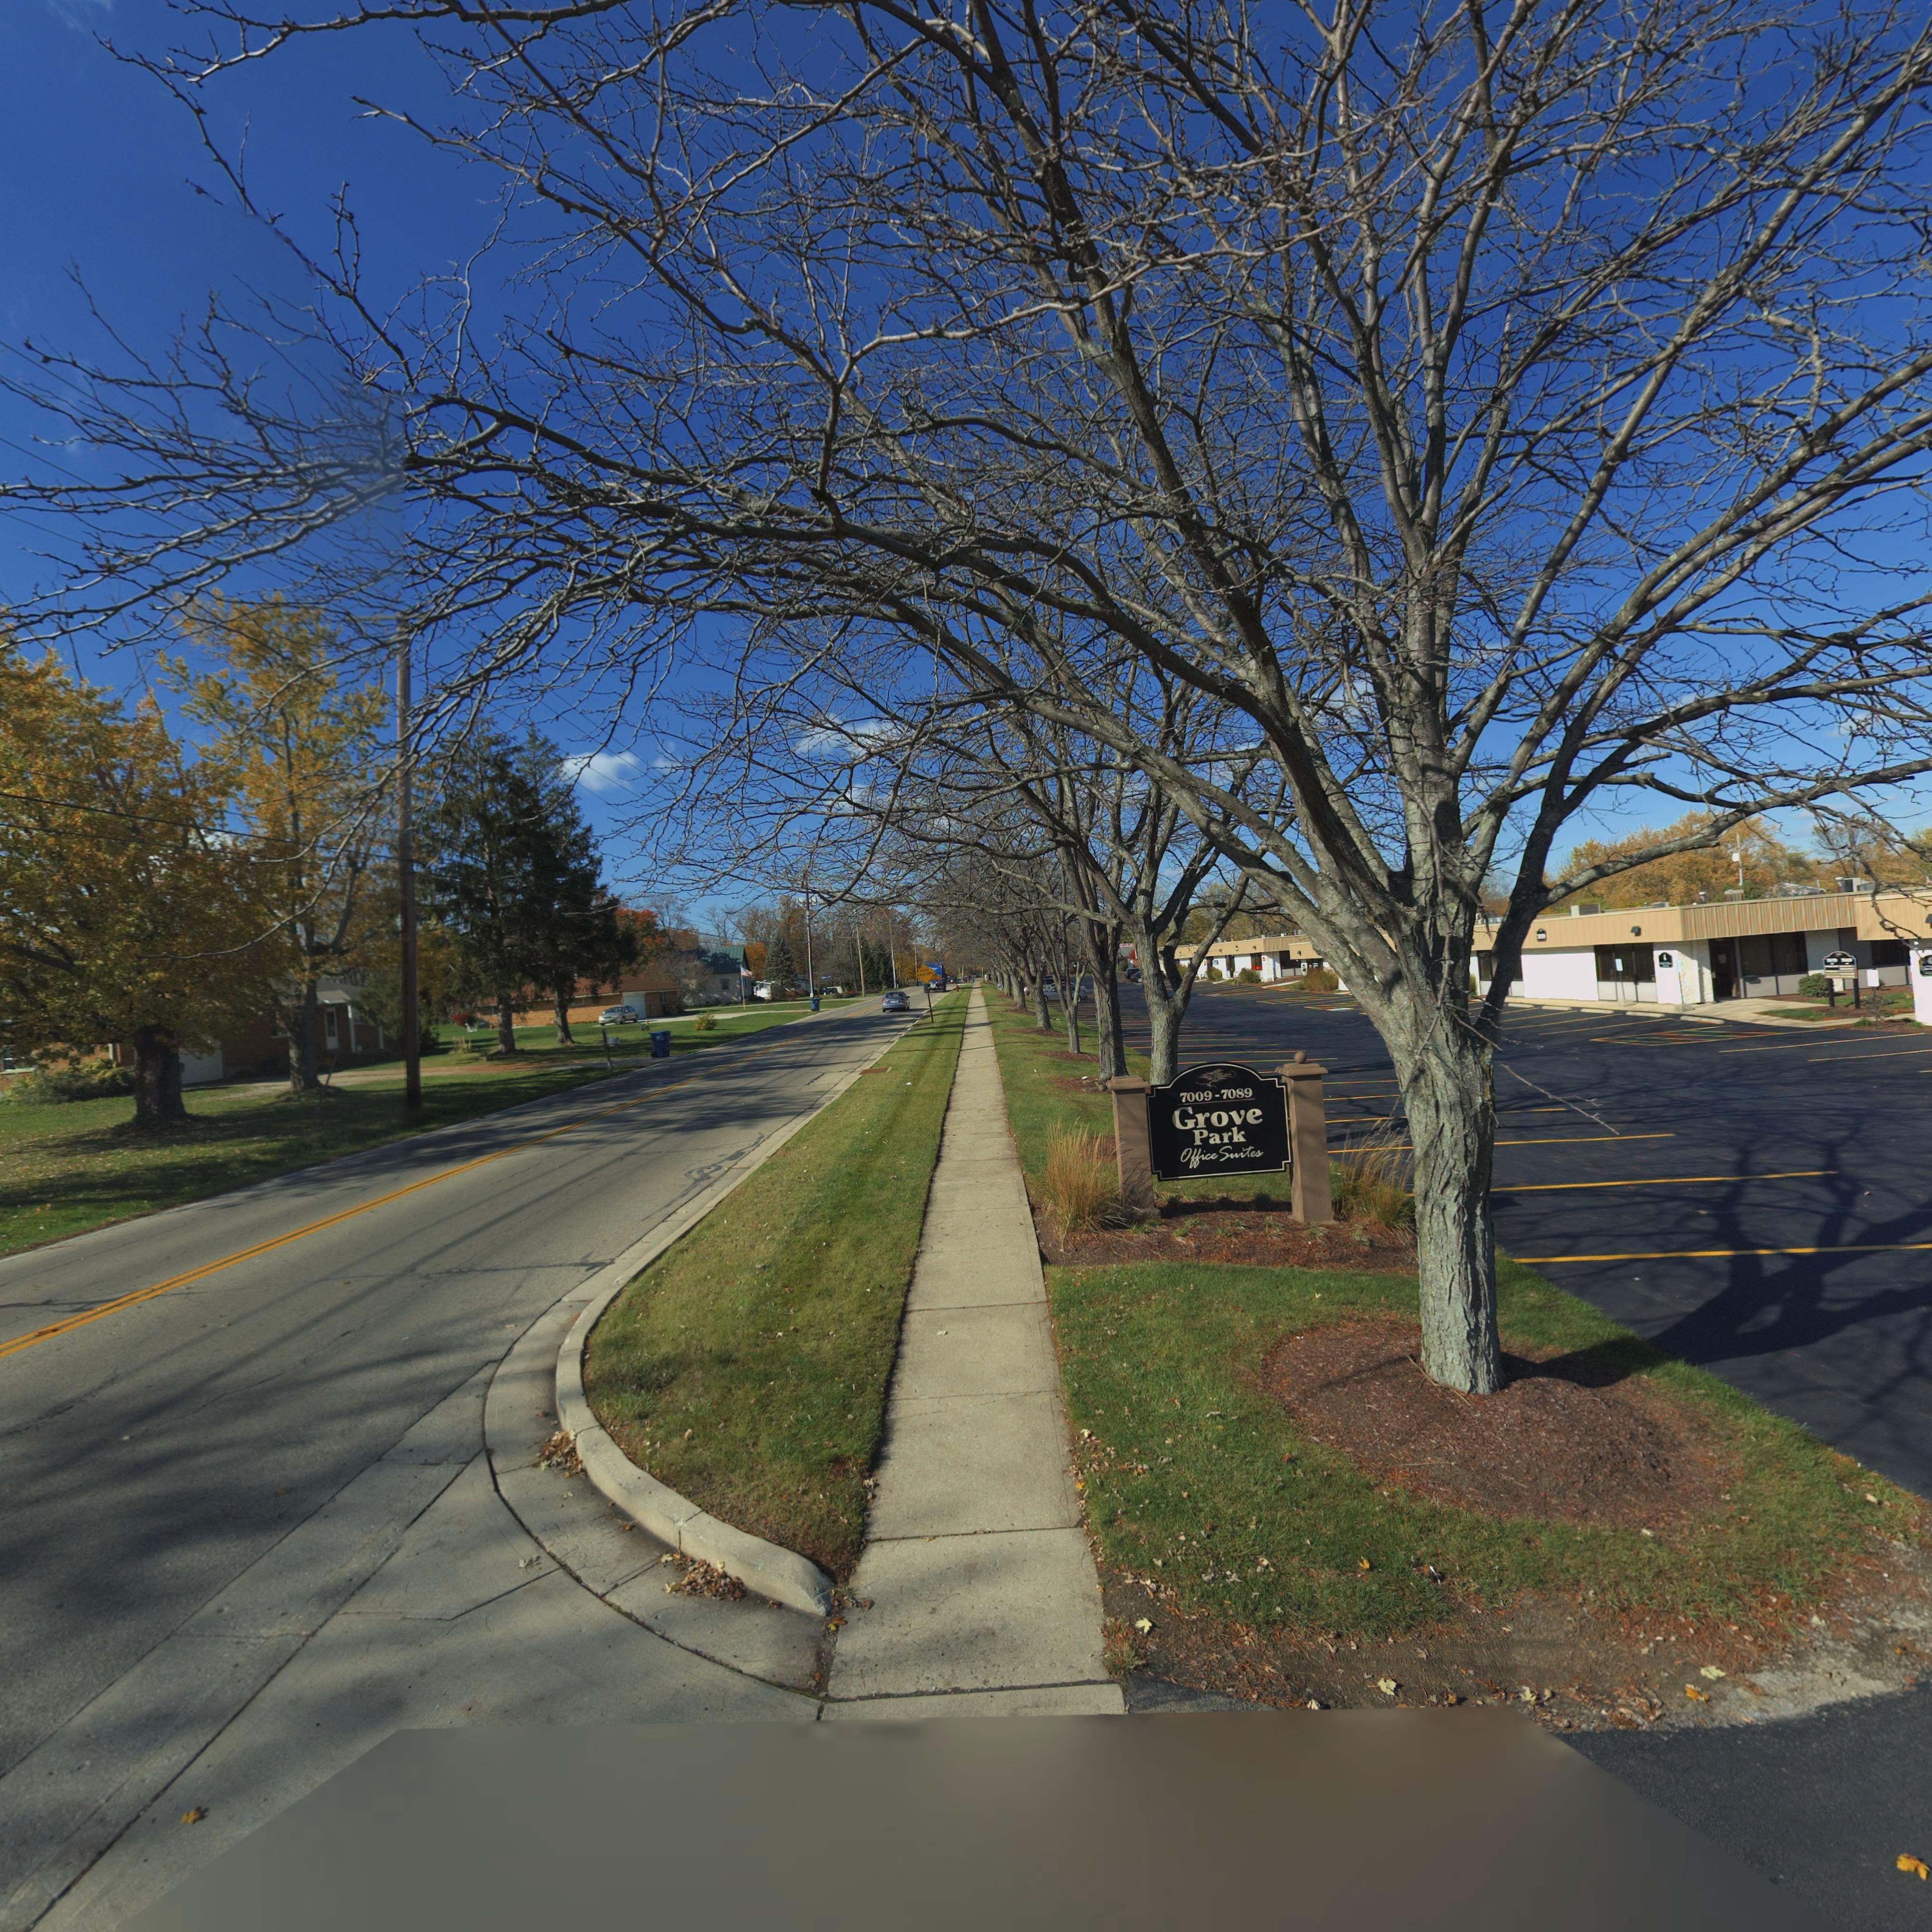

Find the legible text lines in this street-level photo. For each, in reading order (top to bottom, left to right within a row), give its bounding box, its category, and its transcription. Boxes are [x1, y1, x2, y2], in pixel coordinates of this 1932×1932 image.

[1179, 1089, 1214, 1104] StreetNumber: 7009
[1219, 1086, 1255, 1101] StreetNumber: 7089